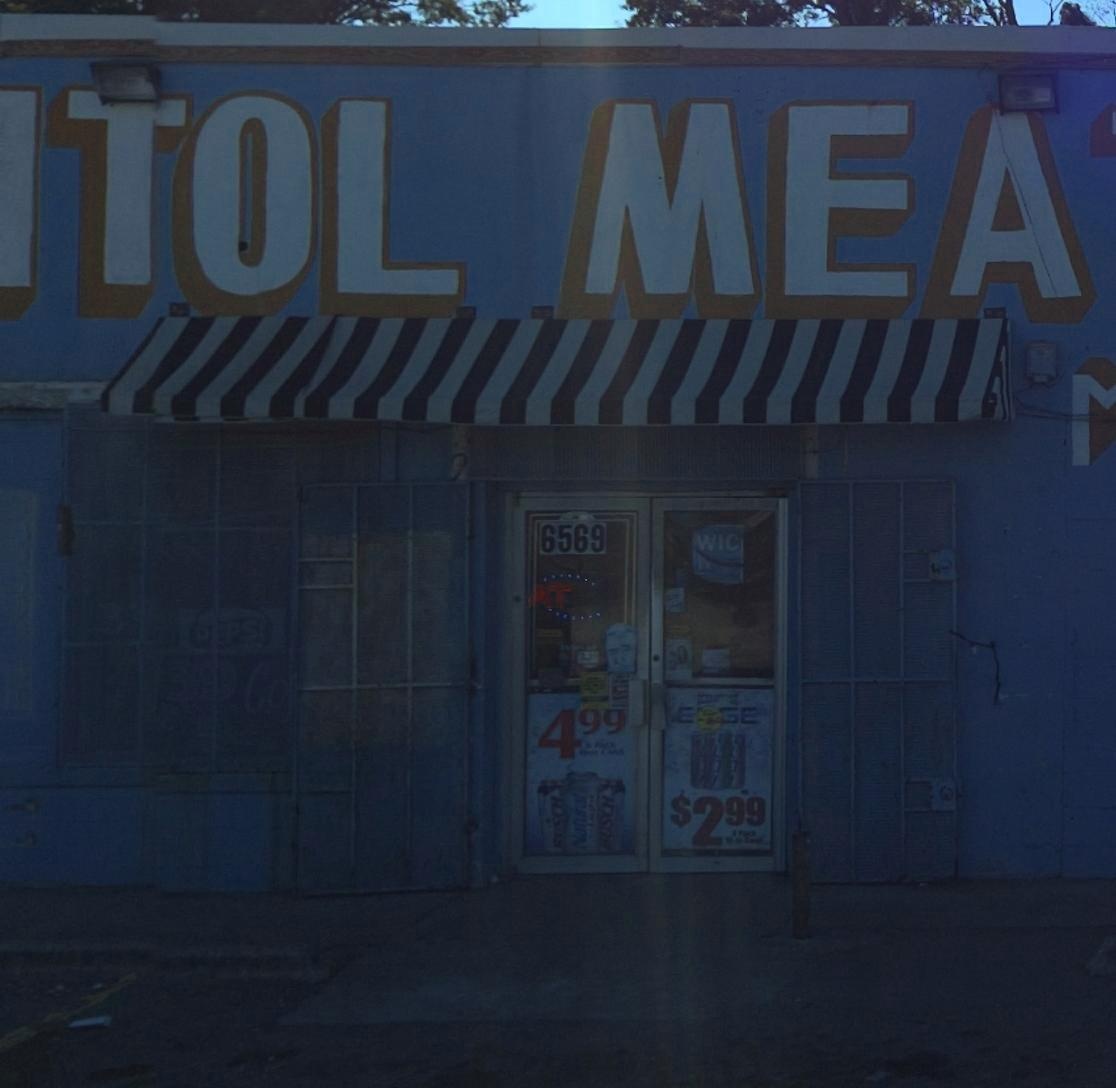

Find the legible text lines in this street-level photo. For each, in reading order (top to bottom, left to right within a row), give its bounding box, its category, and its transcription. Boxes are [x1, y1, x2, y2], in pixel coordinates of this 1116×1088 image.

[62, 84, 1085, 298] BusinessName: TOL MEA
[540, 523, 606, 554] StreetNumber: 6569
[696, 532, 741, 553] None: WIC
[526, 584, 573, 610] None: AT
[672, 706, 759, 725] None: E*GE
[536, 707, 628, 760] None: 499
[690, 794, 767, 848] None: 299